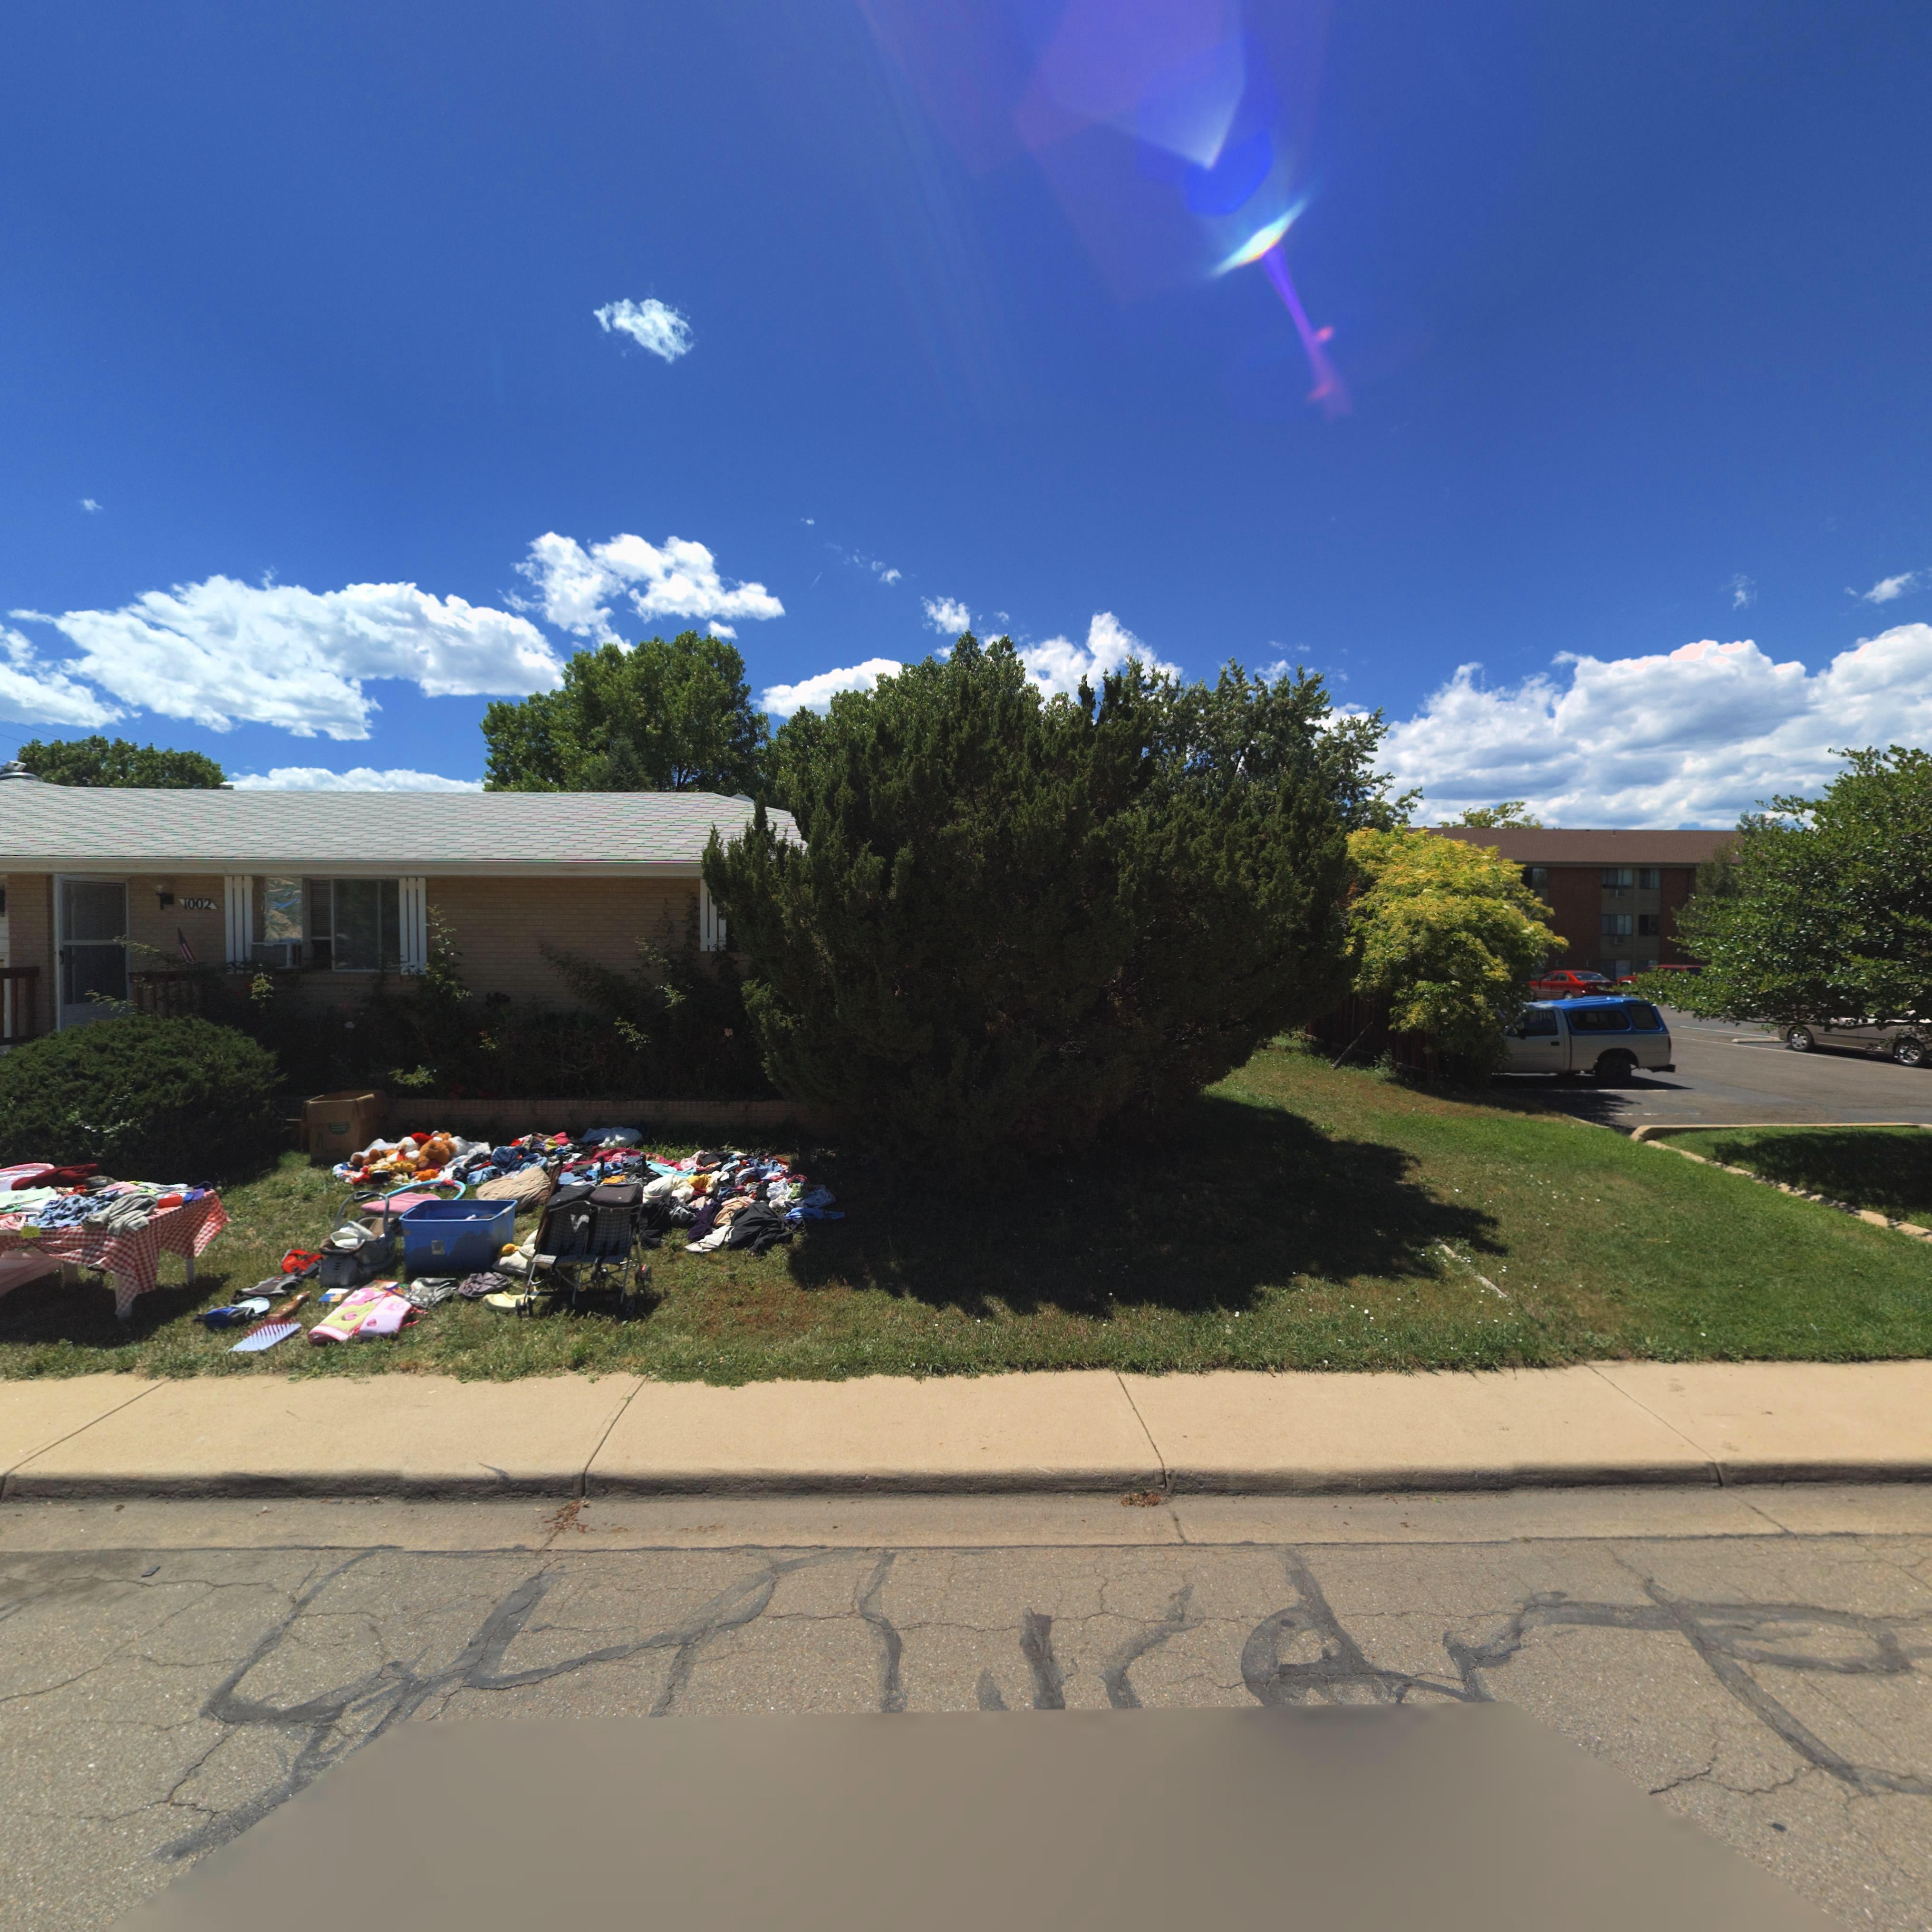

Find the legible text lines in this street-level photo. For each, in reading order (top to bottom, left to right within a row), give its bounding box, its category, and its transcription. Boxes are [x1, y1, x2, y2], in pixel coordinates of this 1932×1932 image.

[184, 898, 211, 909] StreetNumber: 1002